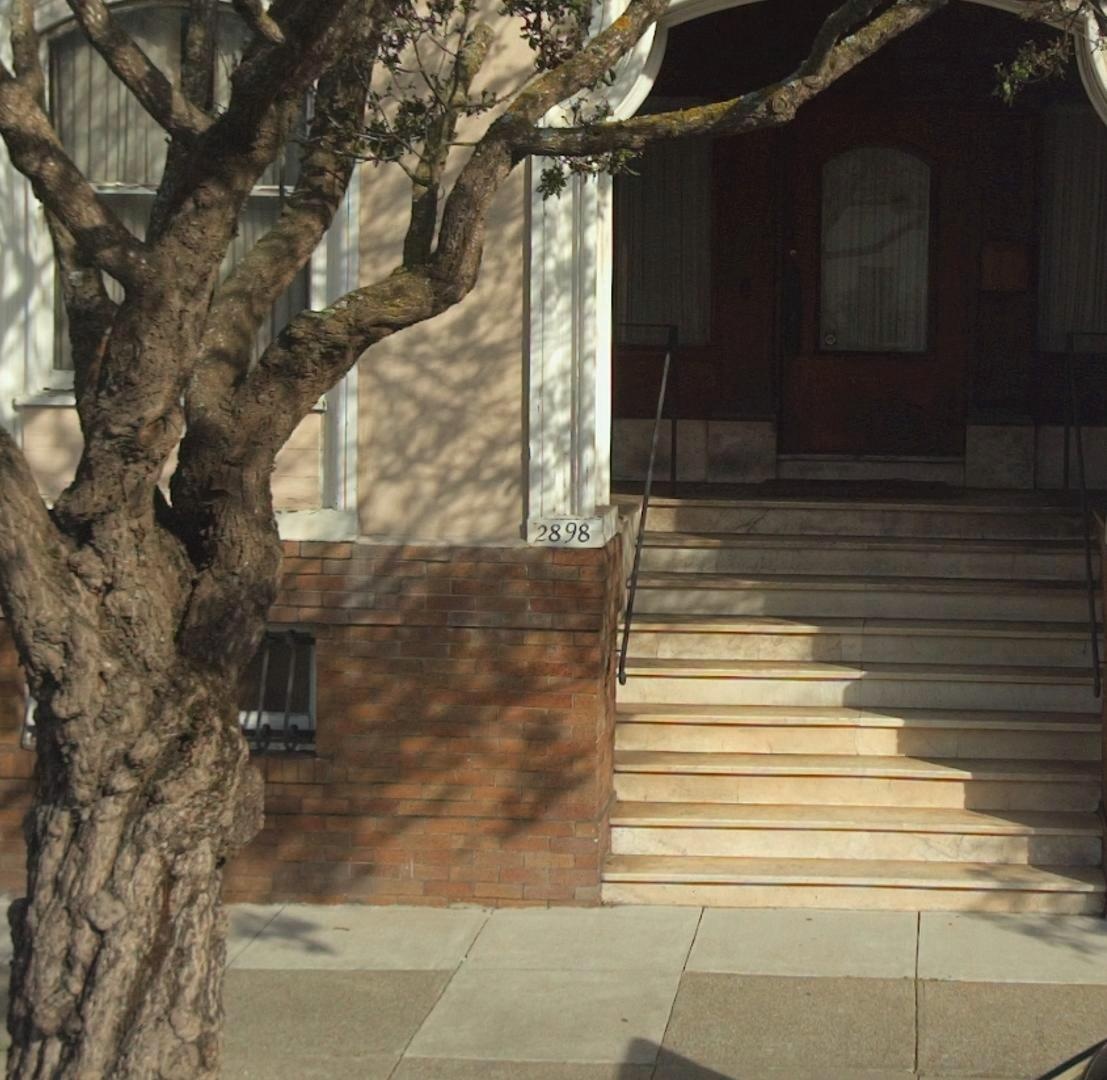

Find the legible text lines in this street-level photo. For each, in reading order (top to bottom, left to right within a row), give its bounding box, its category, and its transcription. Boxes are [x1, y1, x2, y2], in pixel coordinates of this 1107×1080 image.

[532, 520, 592, 546] StreetNumber: 2898